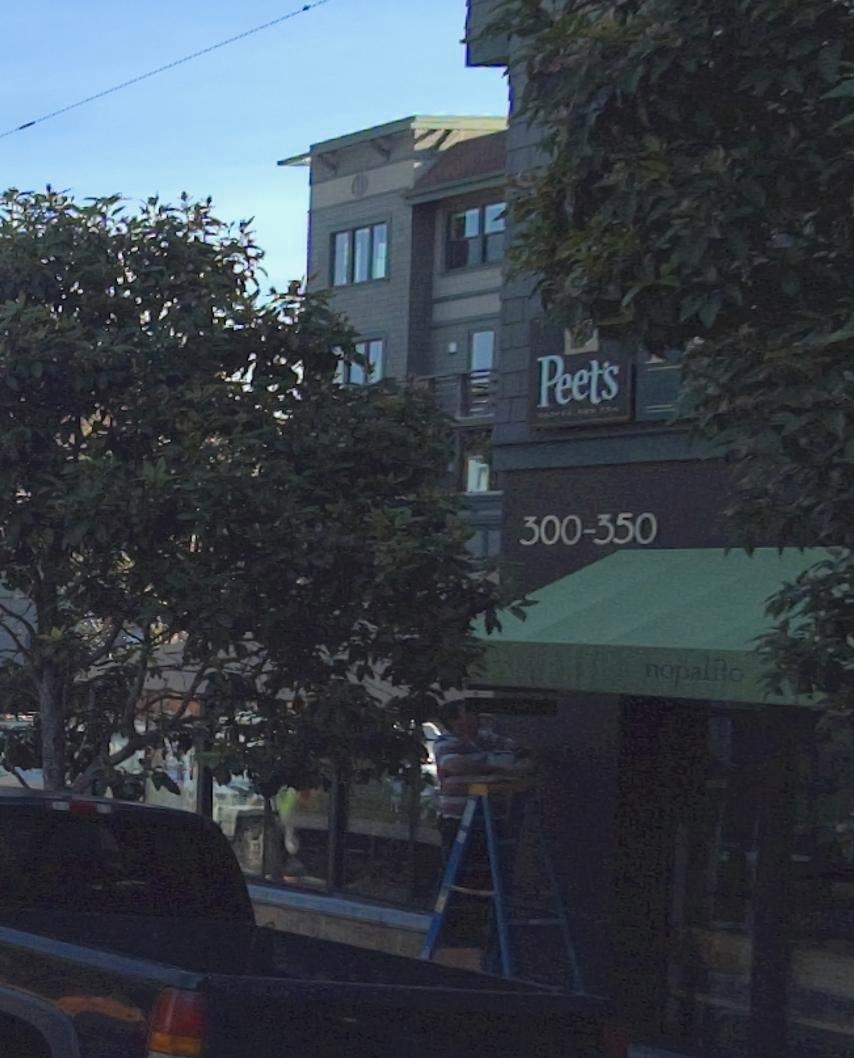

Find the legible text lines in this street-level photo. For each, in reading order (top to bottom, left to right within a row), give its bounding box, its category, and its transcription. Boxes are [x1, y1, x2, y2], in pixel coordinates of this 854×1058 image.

[535, 351, 622, 410] BusinessName: Peet's
[517, 508, 659, 549] StreetNumber: 300-350
[643, 654, 746, 690] BusinessName: nopai*o